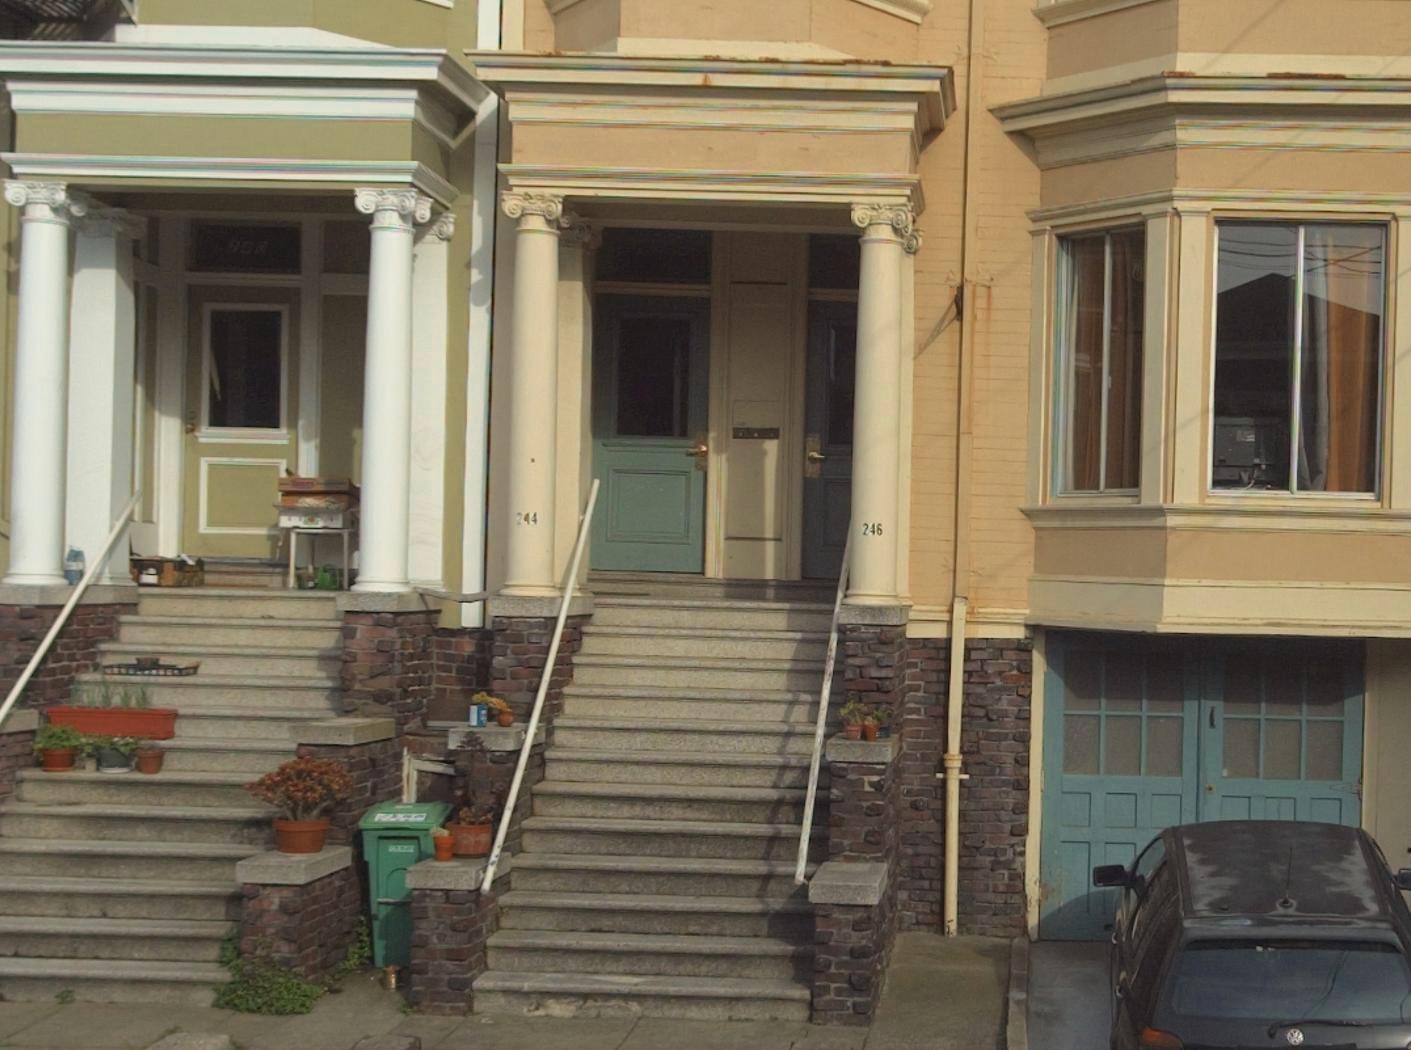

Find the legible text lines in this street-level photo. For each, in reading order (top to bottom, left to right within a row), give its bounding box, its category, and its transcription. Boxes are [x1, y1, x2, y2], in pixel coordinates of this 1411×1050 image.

[515, 510, 539, 525] StreetNumber: 244
[862, 522, 883, 536] StreetNumber: 246